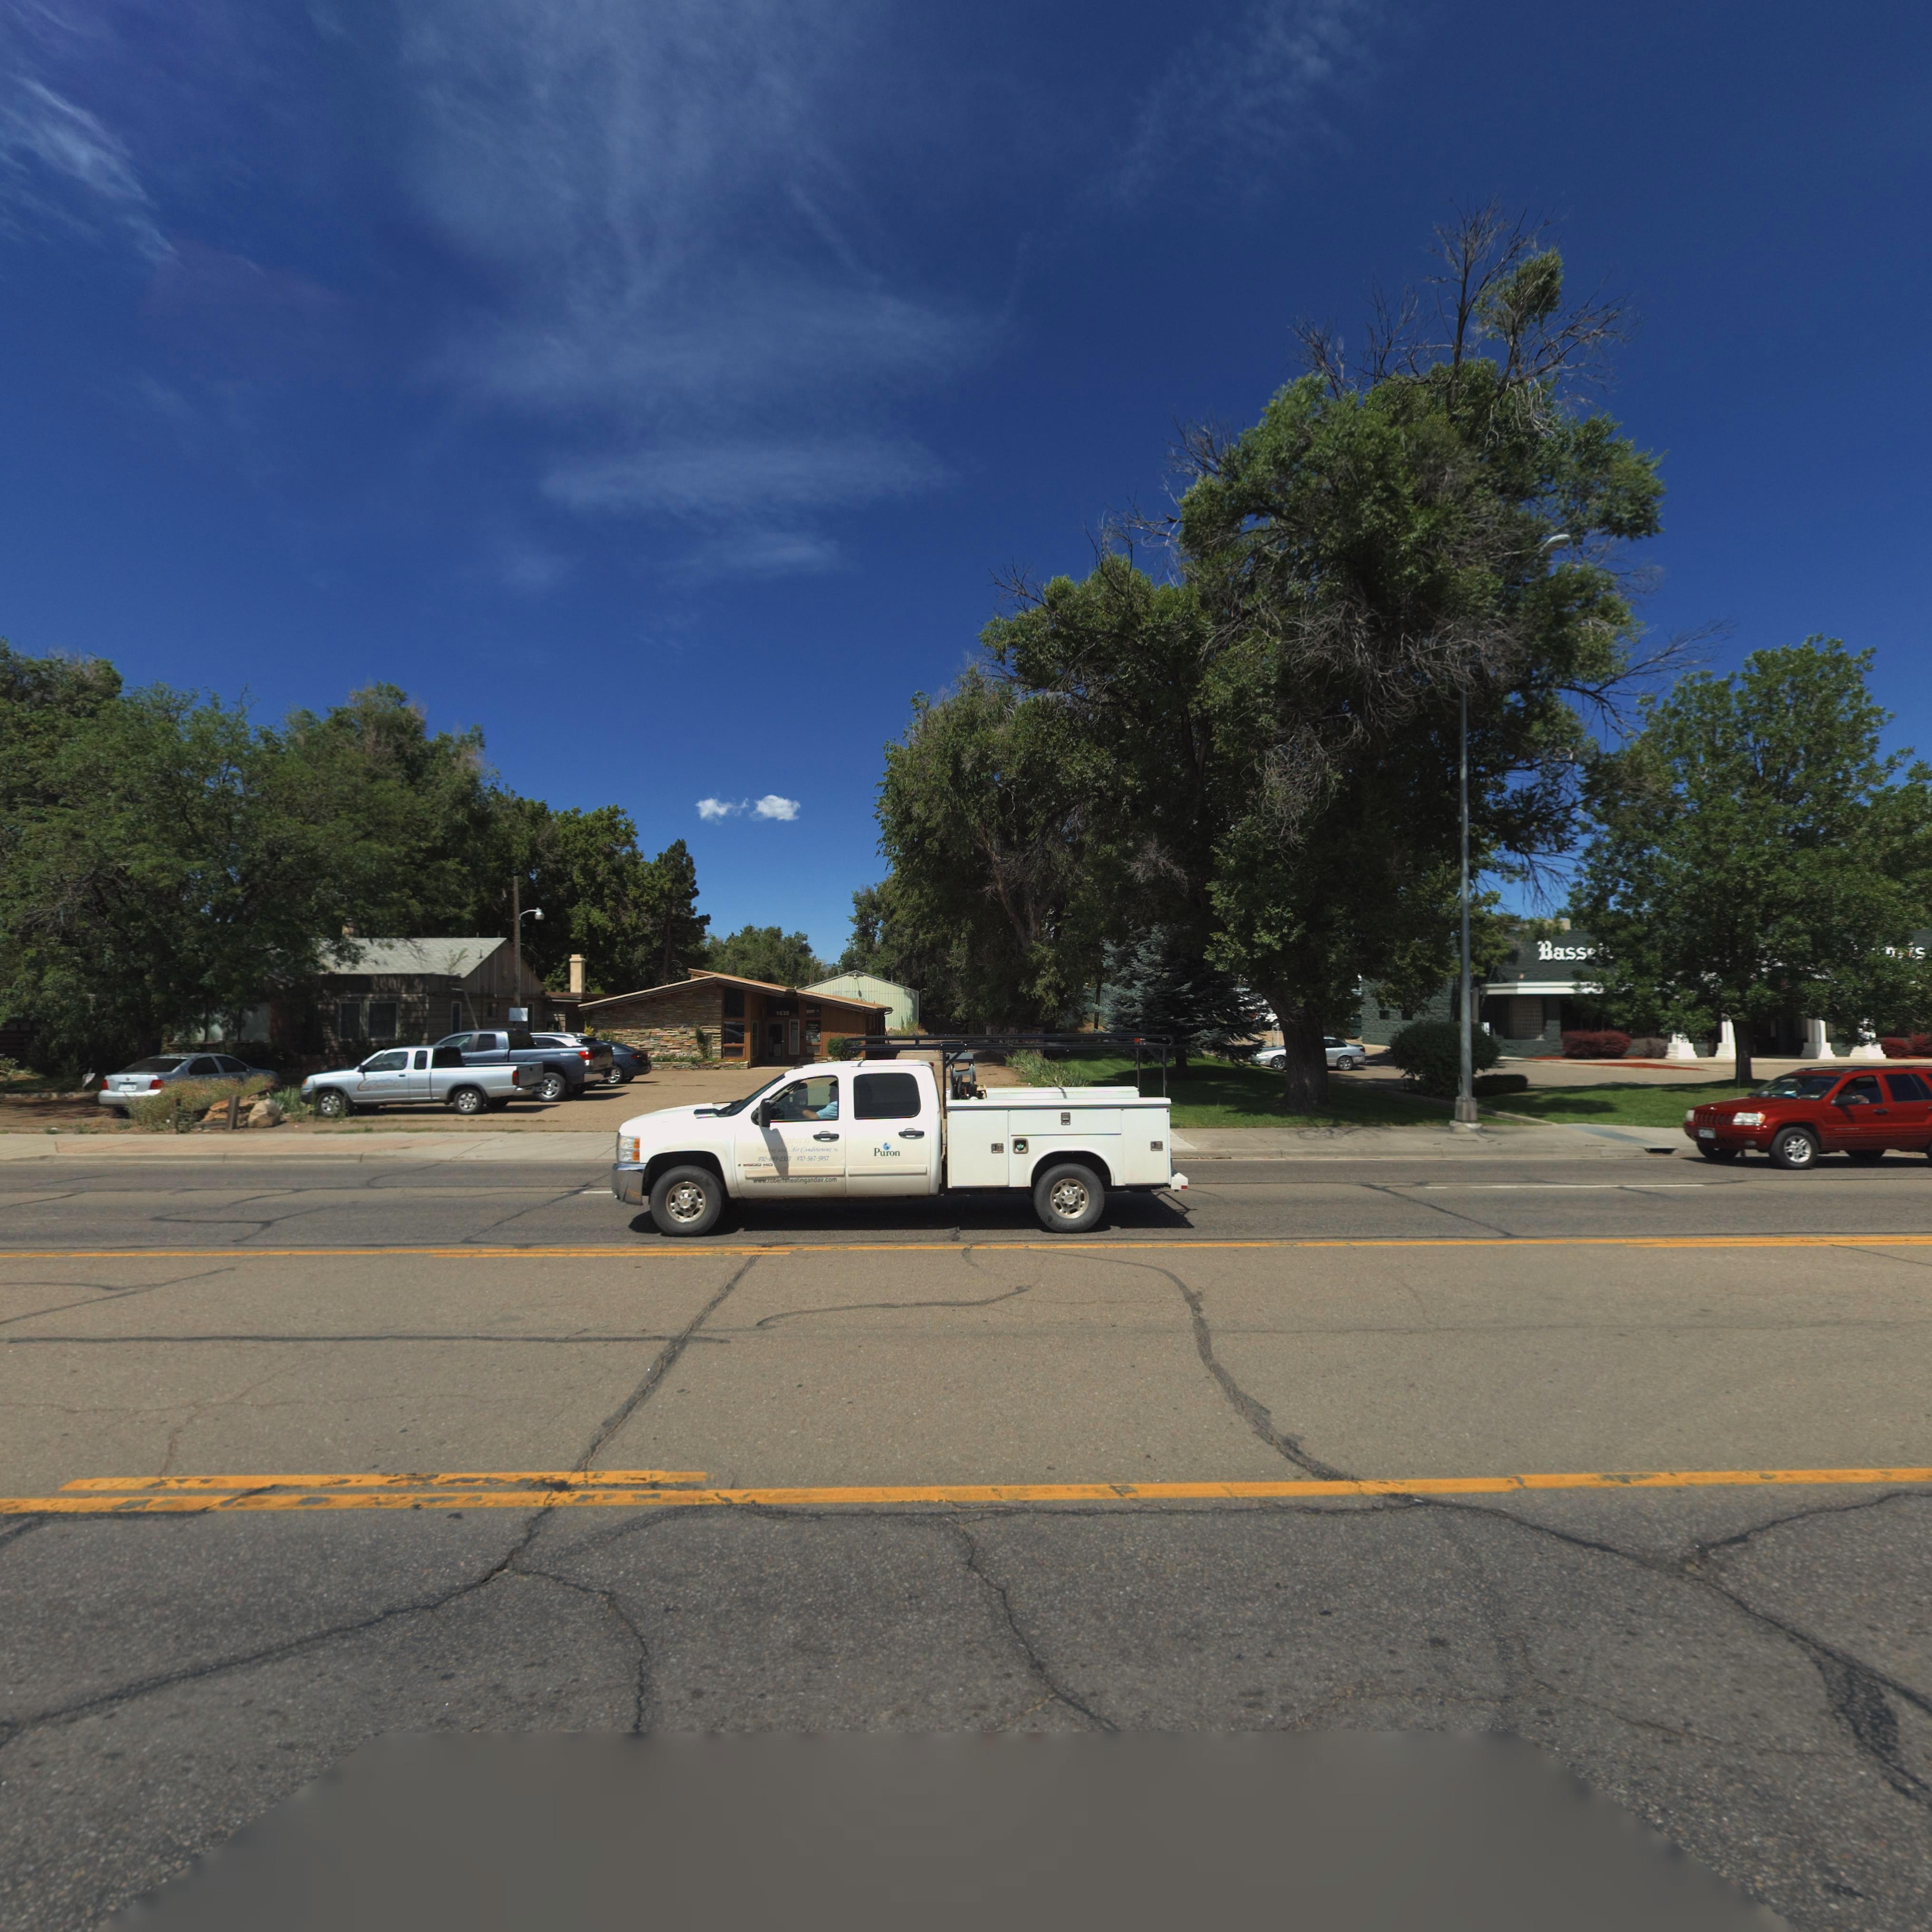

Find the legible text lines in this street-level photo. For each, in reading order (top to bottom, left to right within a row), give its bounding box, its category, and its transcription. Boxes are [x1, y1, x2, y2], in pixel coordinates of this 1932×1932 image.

[1536, 939, 1604, 961] BusinessName: Bass**
[775, 1010, 790, 1016] StreetNumber: 1635
[873, 1147, 900, 1158] None: Puron
[742, 1162, 773, 1167] StreetNumber: 1635